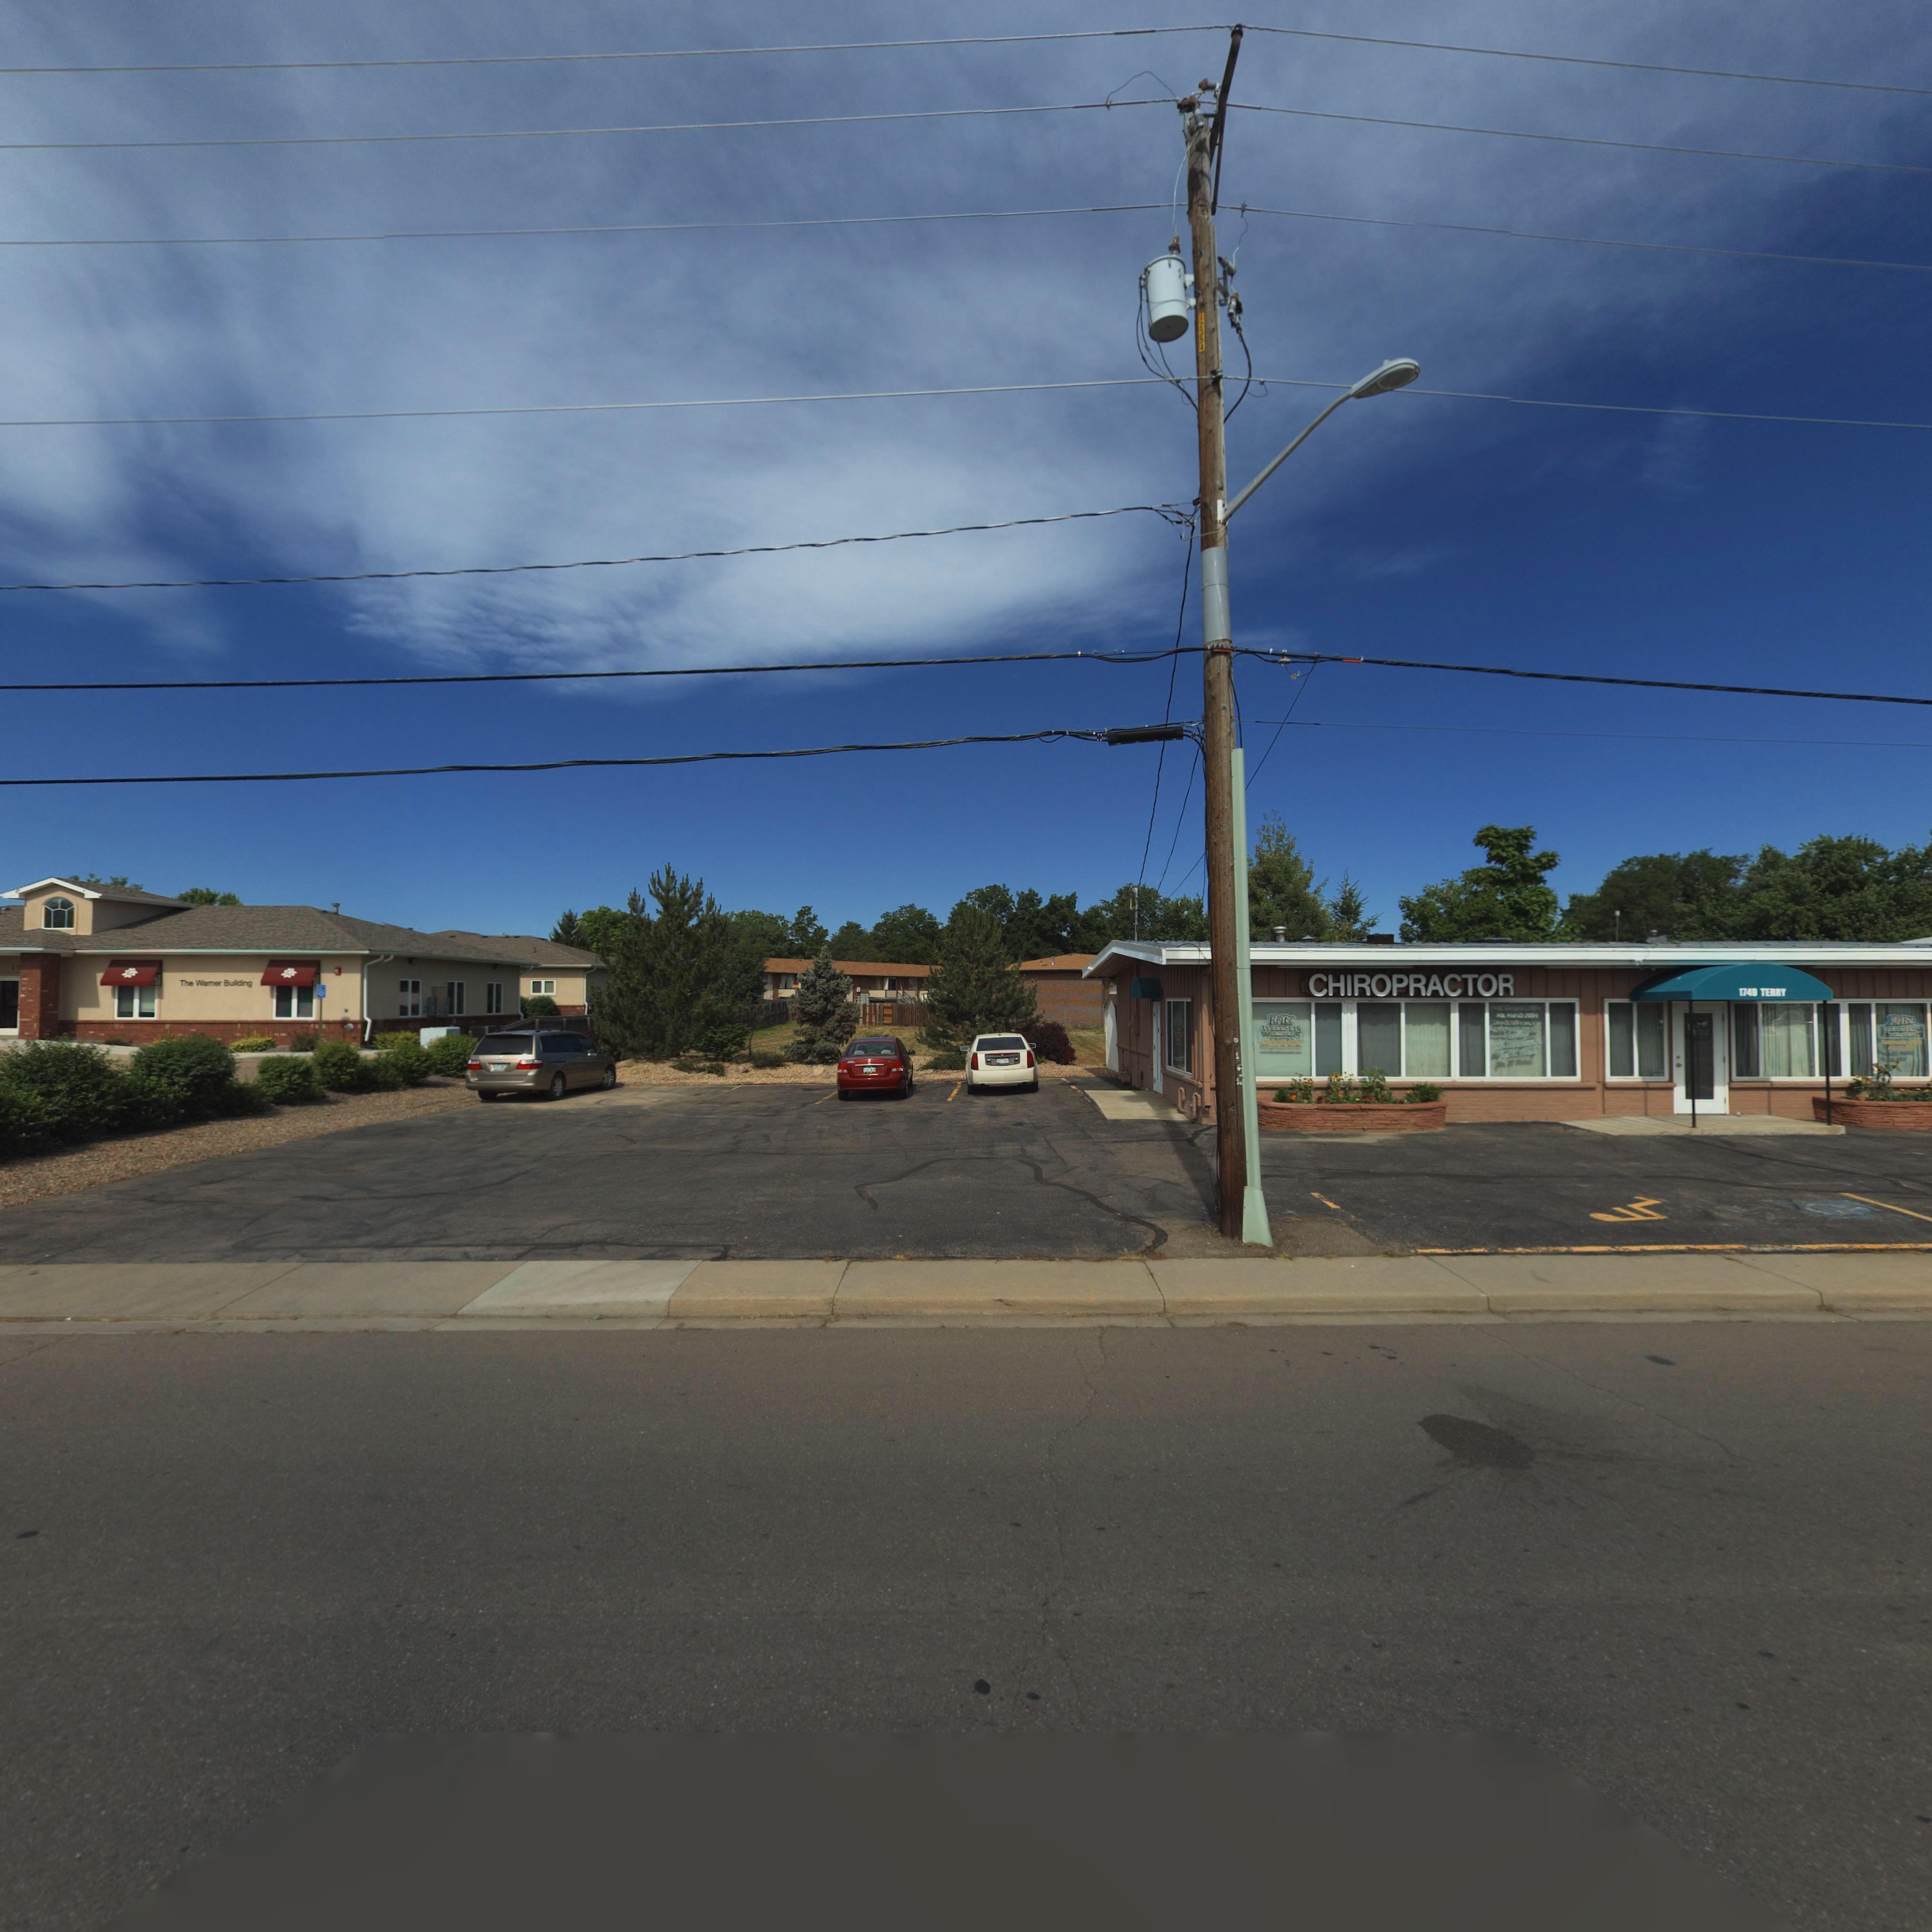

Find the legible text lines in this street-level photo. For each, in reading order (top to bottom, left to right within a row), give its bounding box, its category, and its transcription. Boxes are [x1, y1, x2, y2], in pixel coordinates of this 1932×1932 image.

[10, 964, 21, 971] StreetNumber: 17
[1738, 987, 1758, 997] StreetNumber: 1749
[1759, 987, 1786, 997] StreetName: TERRY
[1269, 1015, 1294, 1024] BusinessName: Fritz
[1884, 1015, 1914, 1025] BusinessName: F**t*
[1261, 1024, 1301, 1034] BusinessName: WELL*ESS
[1270, 1031, 1296, 1036] BusinessName: C*****
[1881, 1024, 1922, 1034] BusinessName: W*L****S
[1890, 1032, 1916, 1037] BusinessName: C*****